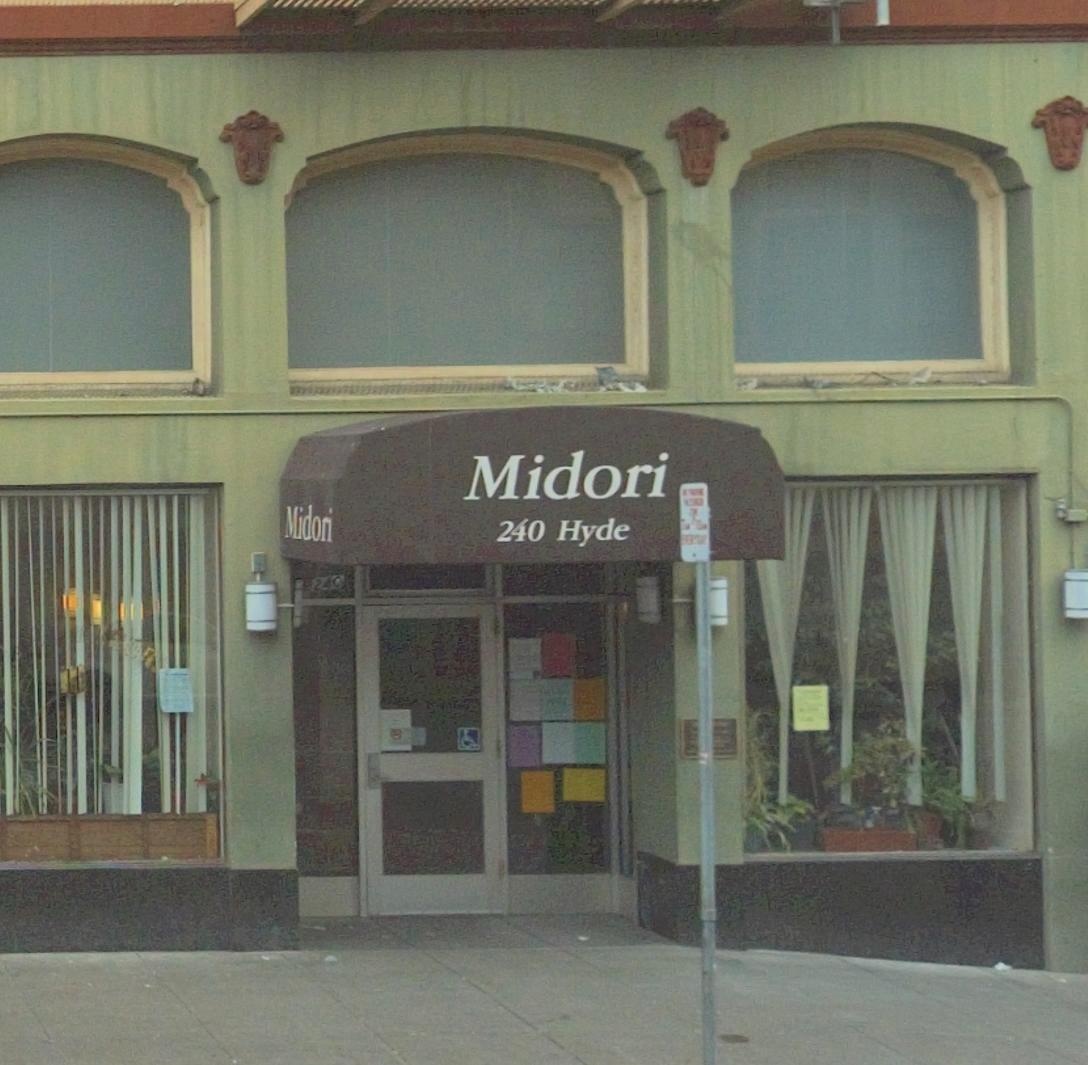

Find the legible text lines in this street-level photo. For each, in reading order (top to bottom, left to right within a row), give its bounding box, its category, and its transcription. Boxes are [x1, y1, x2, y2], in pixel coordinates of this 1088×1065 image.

[460, 448, 670, 501] BusinessName: Midori
[283, 502, 335, 544] BusinessName: Midori
[495, 517, 547, 543] StreetNumber: 240
[557, 516, 630, 547] StreetName: Hyde
[312, 574, 344, 591] StreetNumber: 240